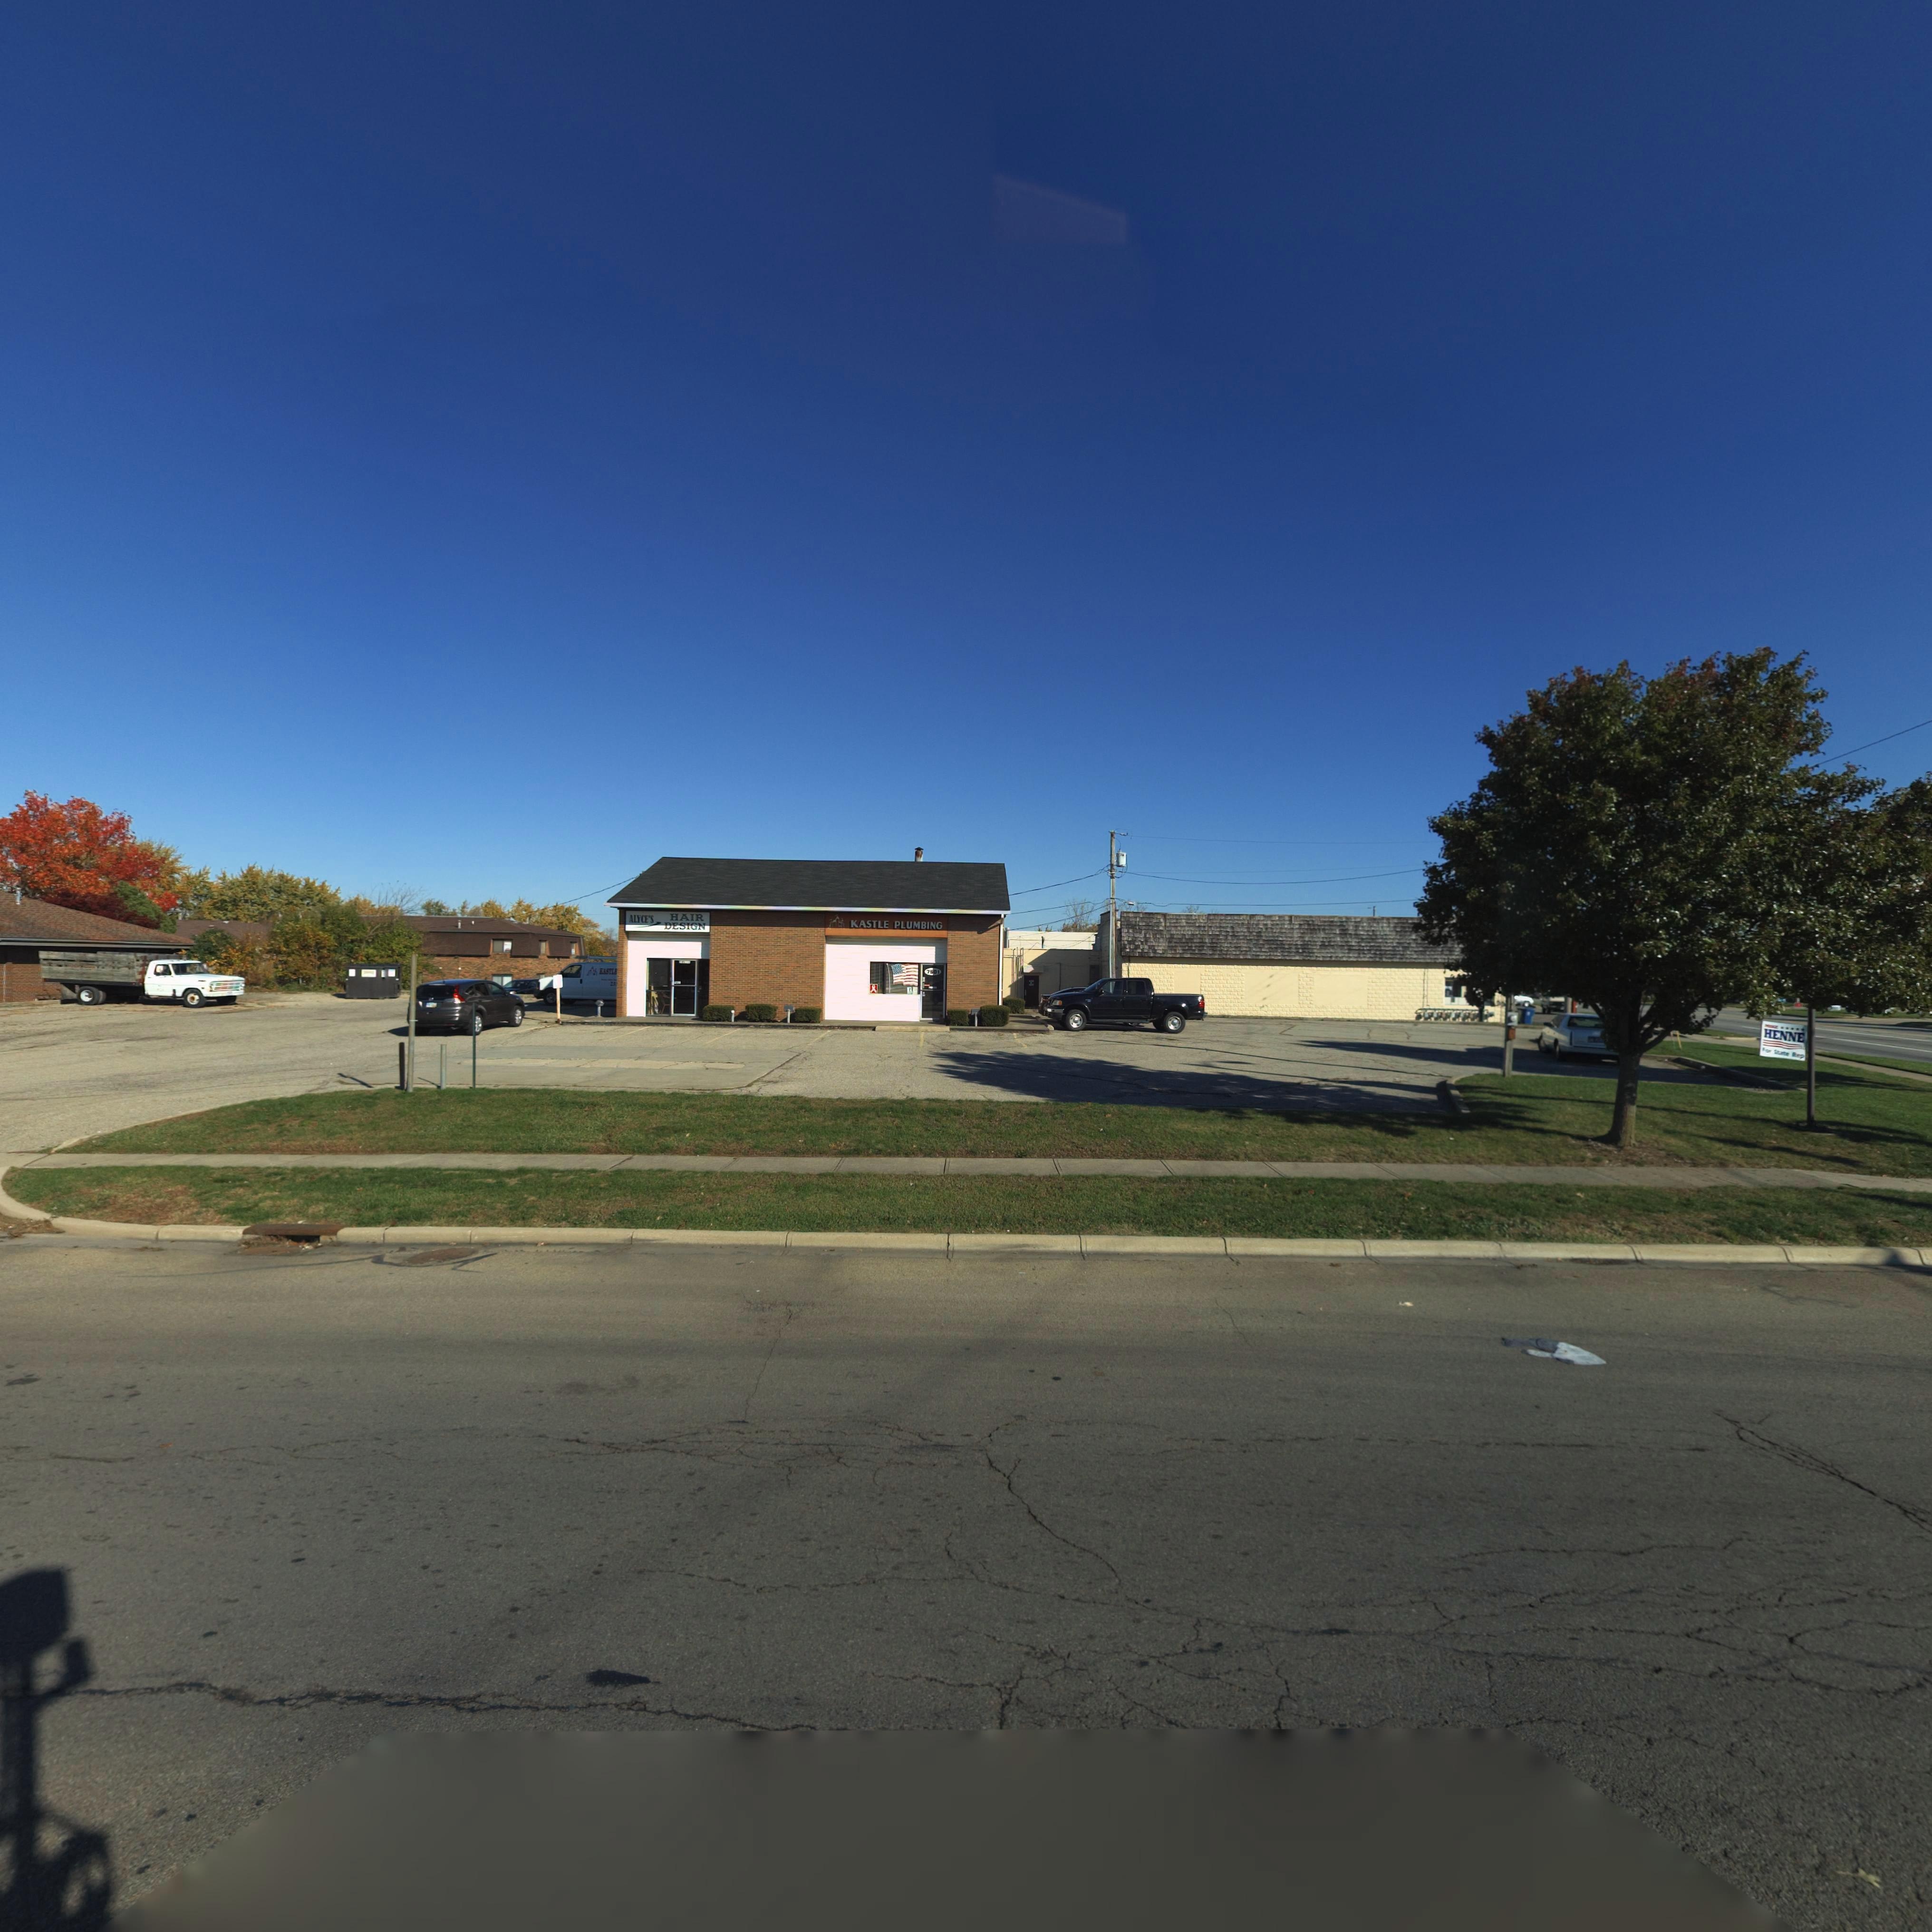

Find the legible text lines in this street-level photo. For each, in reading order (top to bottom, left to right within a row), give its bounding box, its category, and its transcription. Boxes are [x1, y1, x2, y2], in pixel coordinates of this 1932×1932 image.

[628, 914, 655, 924] BusinessName: ALYCE'S
[669, 913, 705, 922] BusinessName: HAIR
[663, 922, 706, 931] BusinessName: DESIGN
[850, 919, 943, 930] BusinessName: KASTLE PLUMBING
[598, 967, 616, 975] BusinessName: KASTL
[926, 969, 940, 975] StreetNumber: 7501